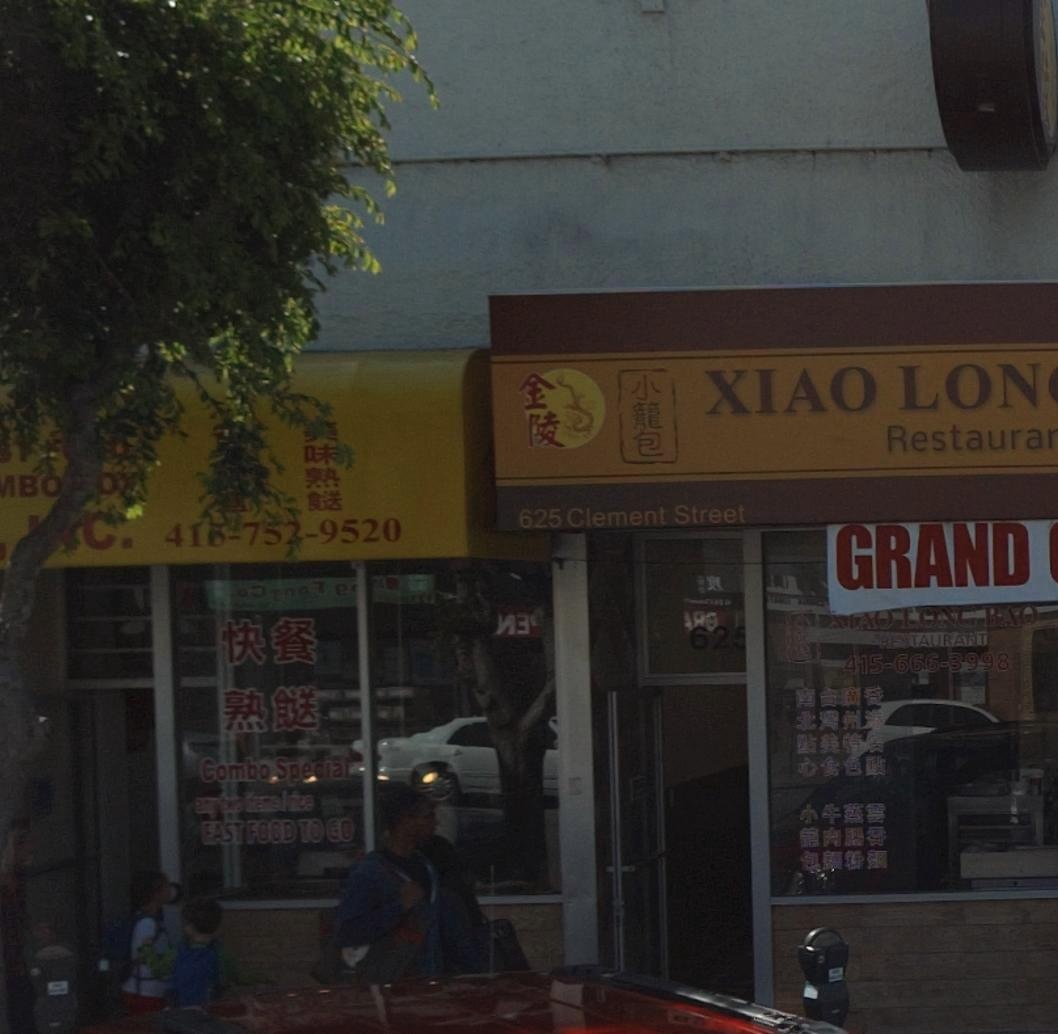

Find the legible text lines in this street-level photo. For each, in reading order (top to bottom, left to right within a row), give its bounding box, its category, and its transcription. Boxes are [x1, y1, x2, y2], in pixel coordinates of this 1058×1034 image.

[702, 360, 1046, 417] BusinessName: XIAO LON
[883, 420, 1045, 455] BusinessName: Restaura
[14, 472, 62, 499] None: BO
[161, 514, 403, 550] None: 41*-752-9520
[518, 506, 563, 531] StreetNumber: 625
[566, 502, 747, 530] StreetName: Clement Street
[832, 520, 1033, 591] None: GRAND
[827, 603, 1039, 633] BusinessName: XIAO LONG RAO
[689, 625, 748, 653] StreetNumber: 625
[879, 631, 986, 649] BusinessName: RESTAURANT
[841, 649, 1011, 677] None: 415-666-3998
[198, 753, 353, 788] None: Combo Special
[200, 816, 355, 848] None: EAST FOOD TO GO